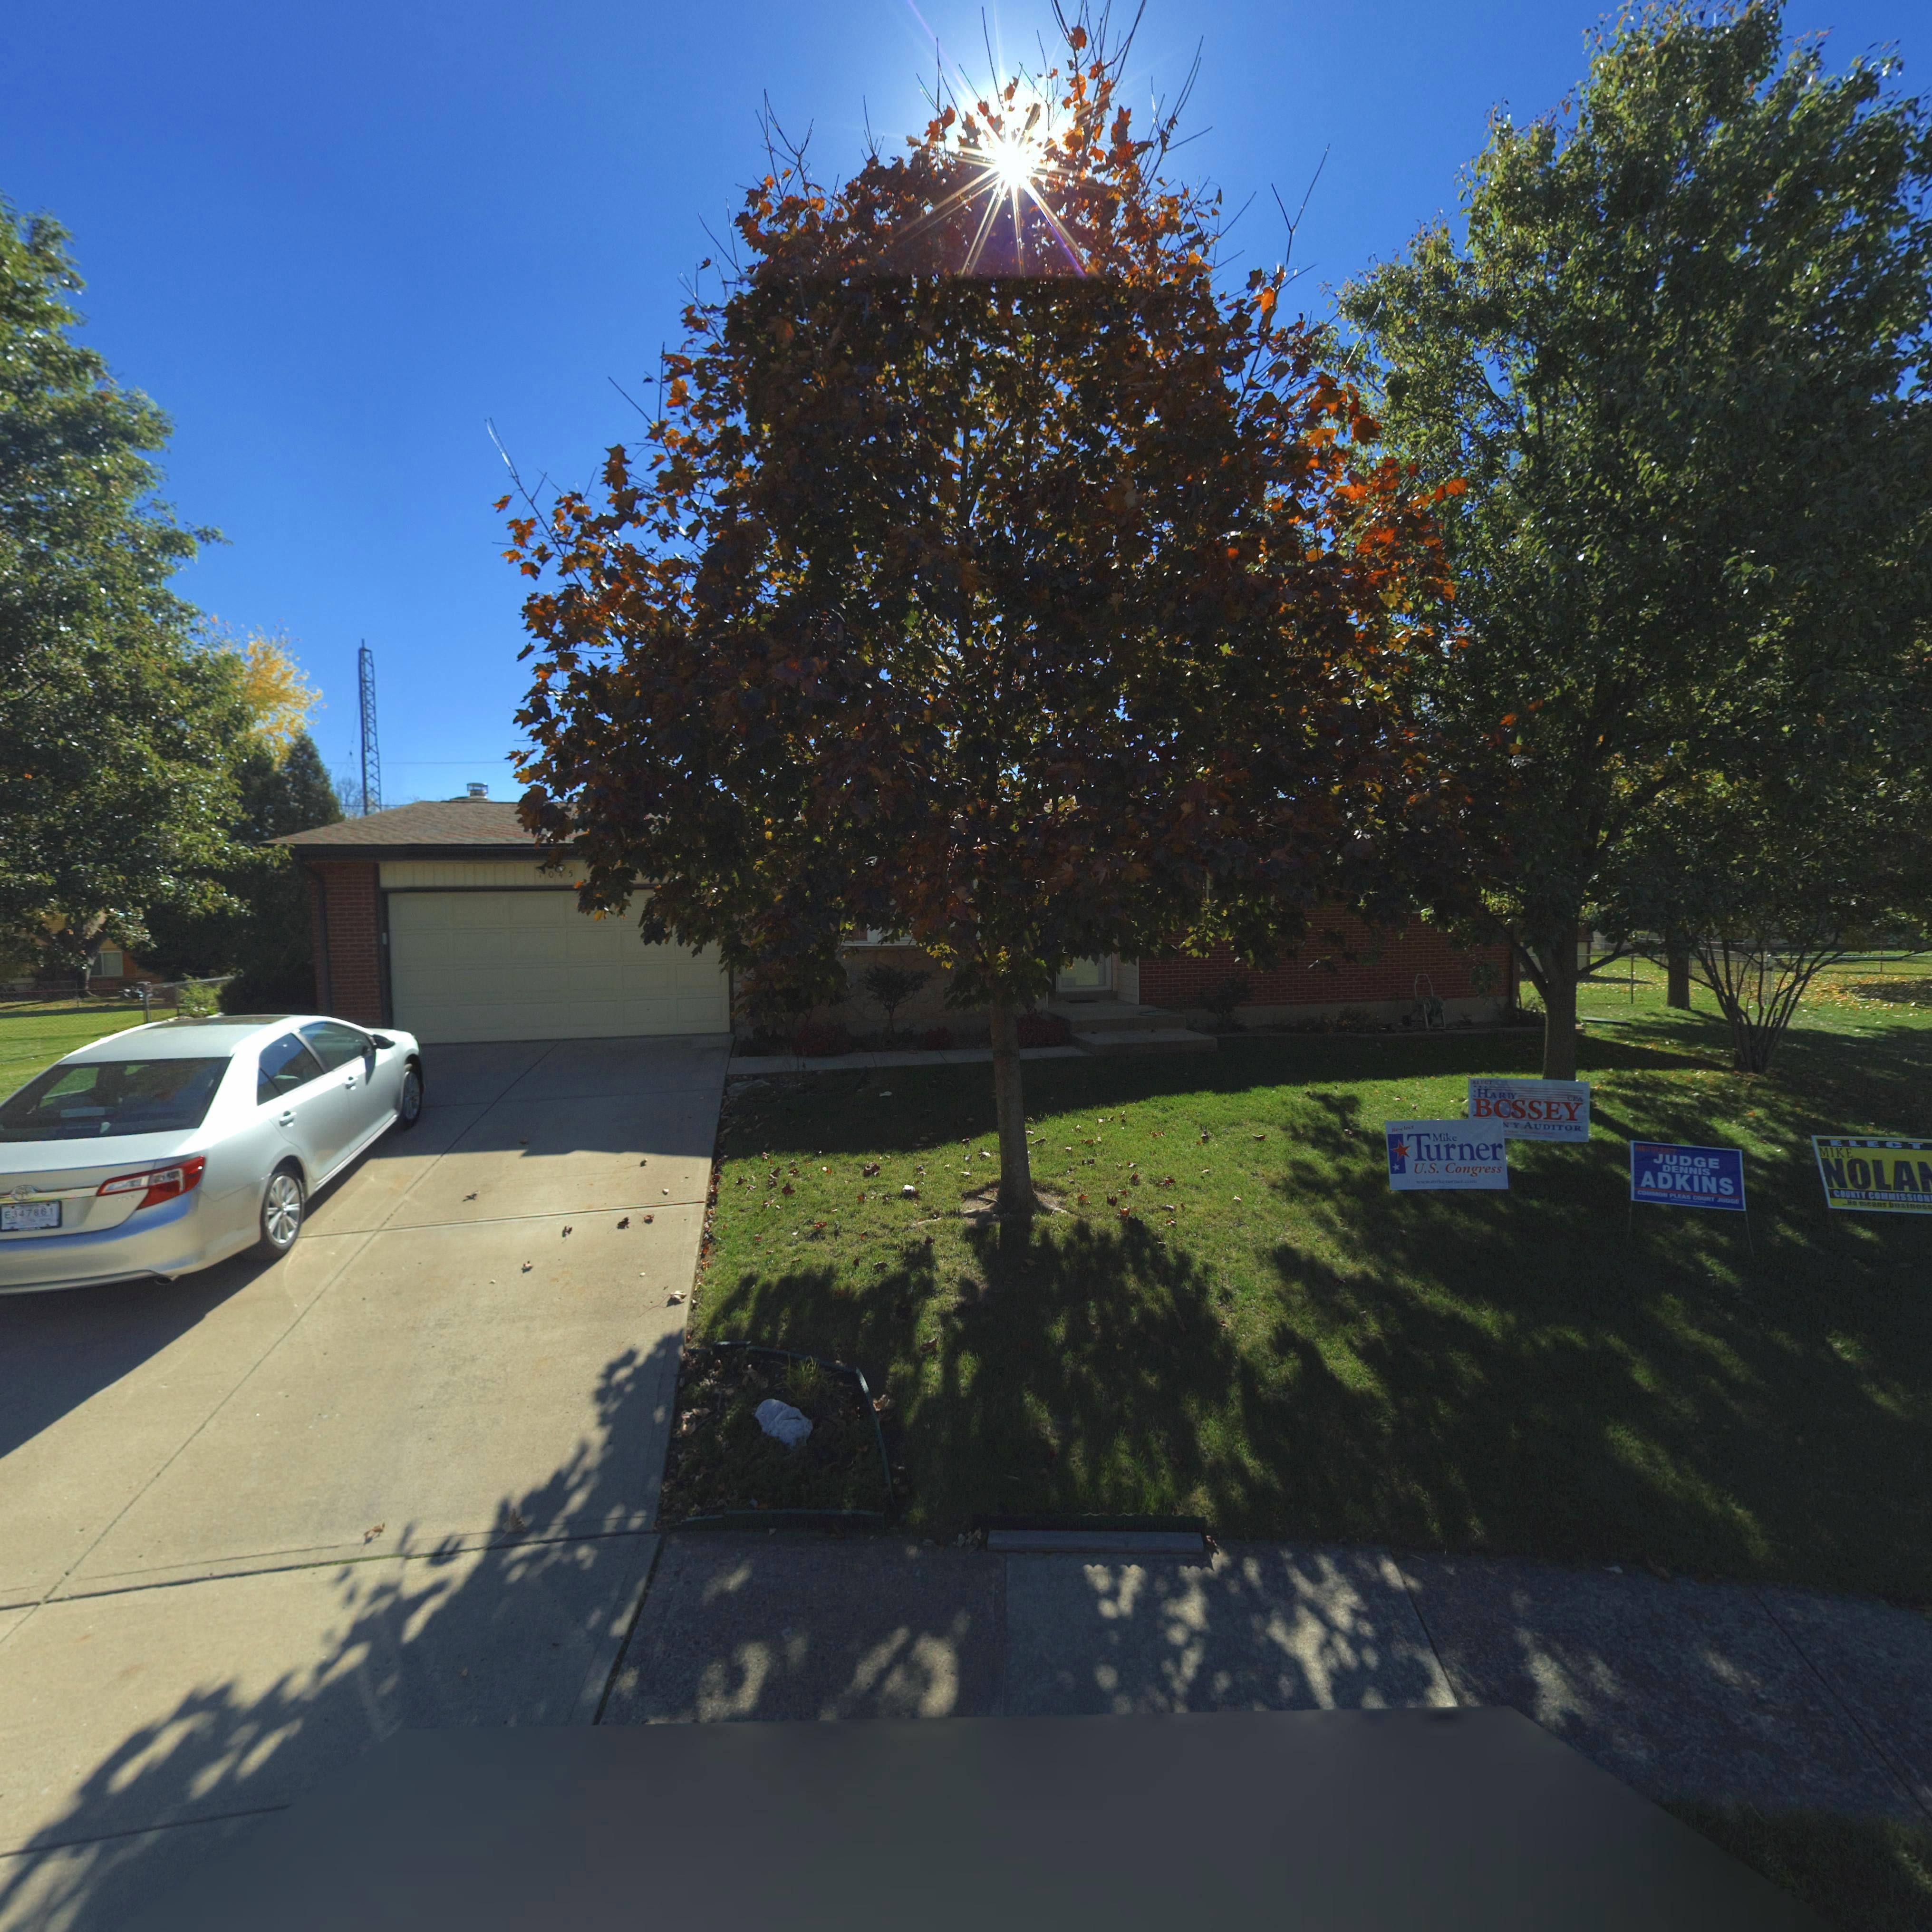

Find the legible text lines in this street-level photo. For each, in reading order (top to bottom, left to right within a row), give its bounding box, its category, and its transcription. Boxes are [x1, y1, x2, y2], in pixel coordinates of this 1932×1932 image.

[537, 869, 575, 879] StreetNumber: *0*5
[1472, 1079, 1494, 1085] None: ELECT